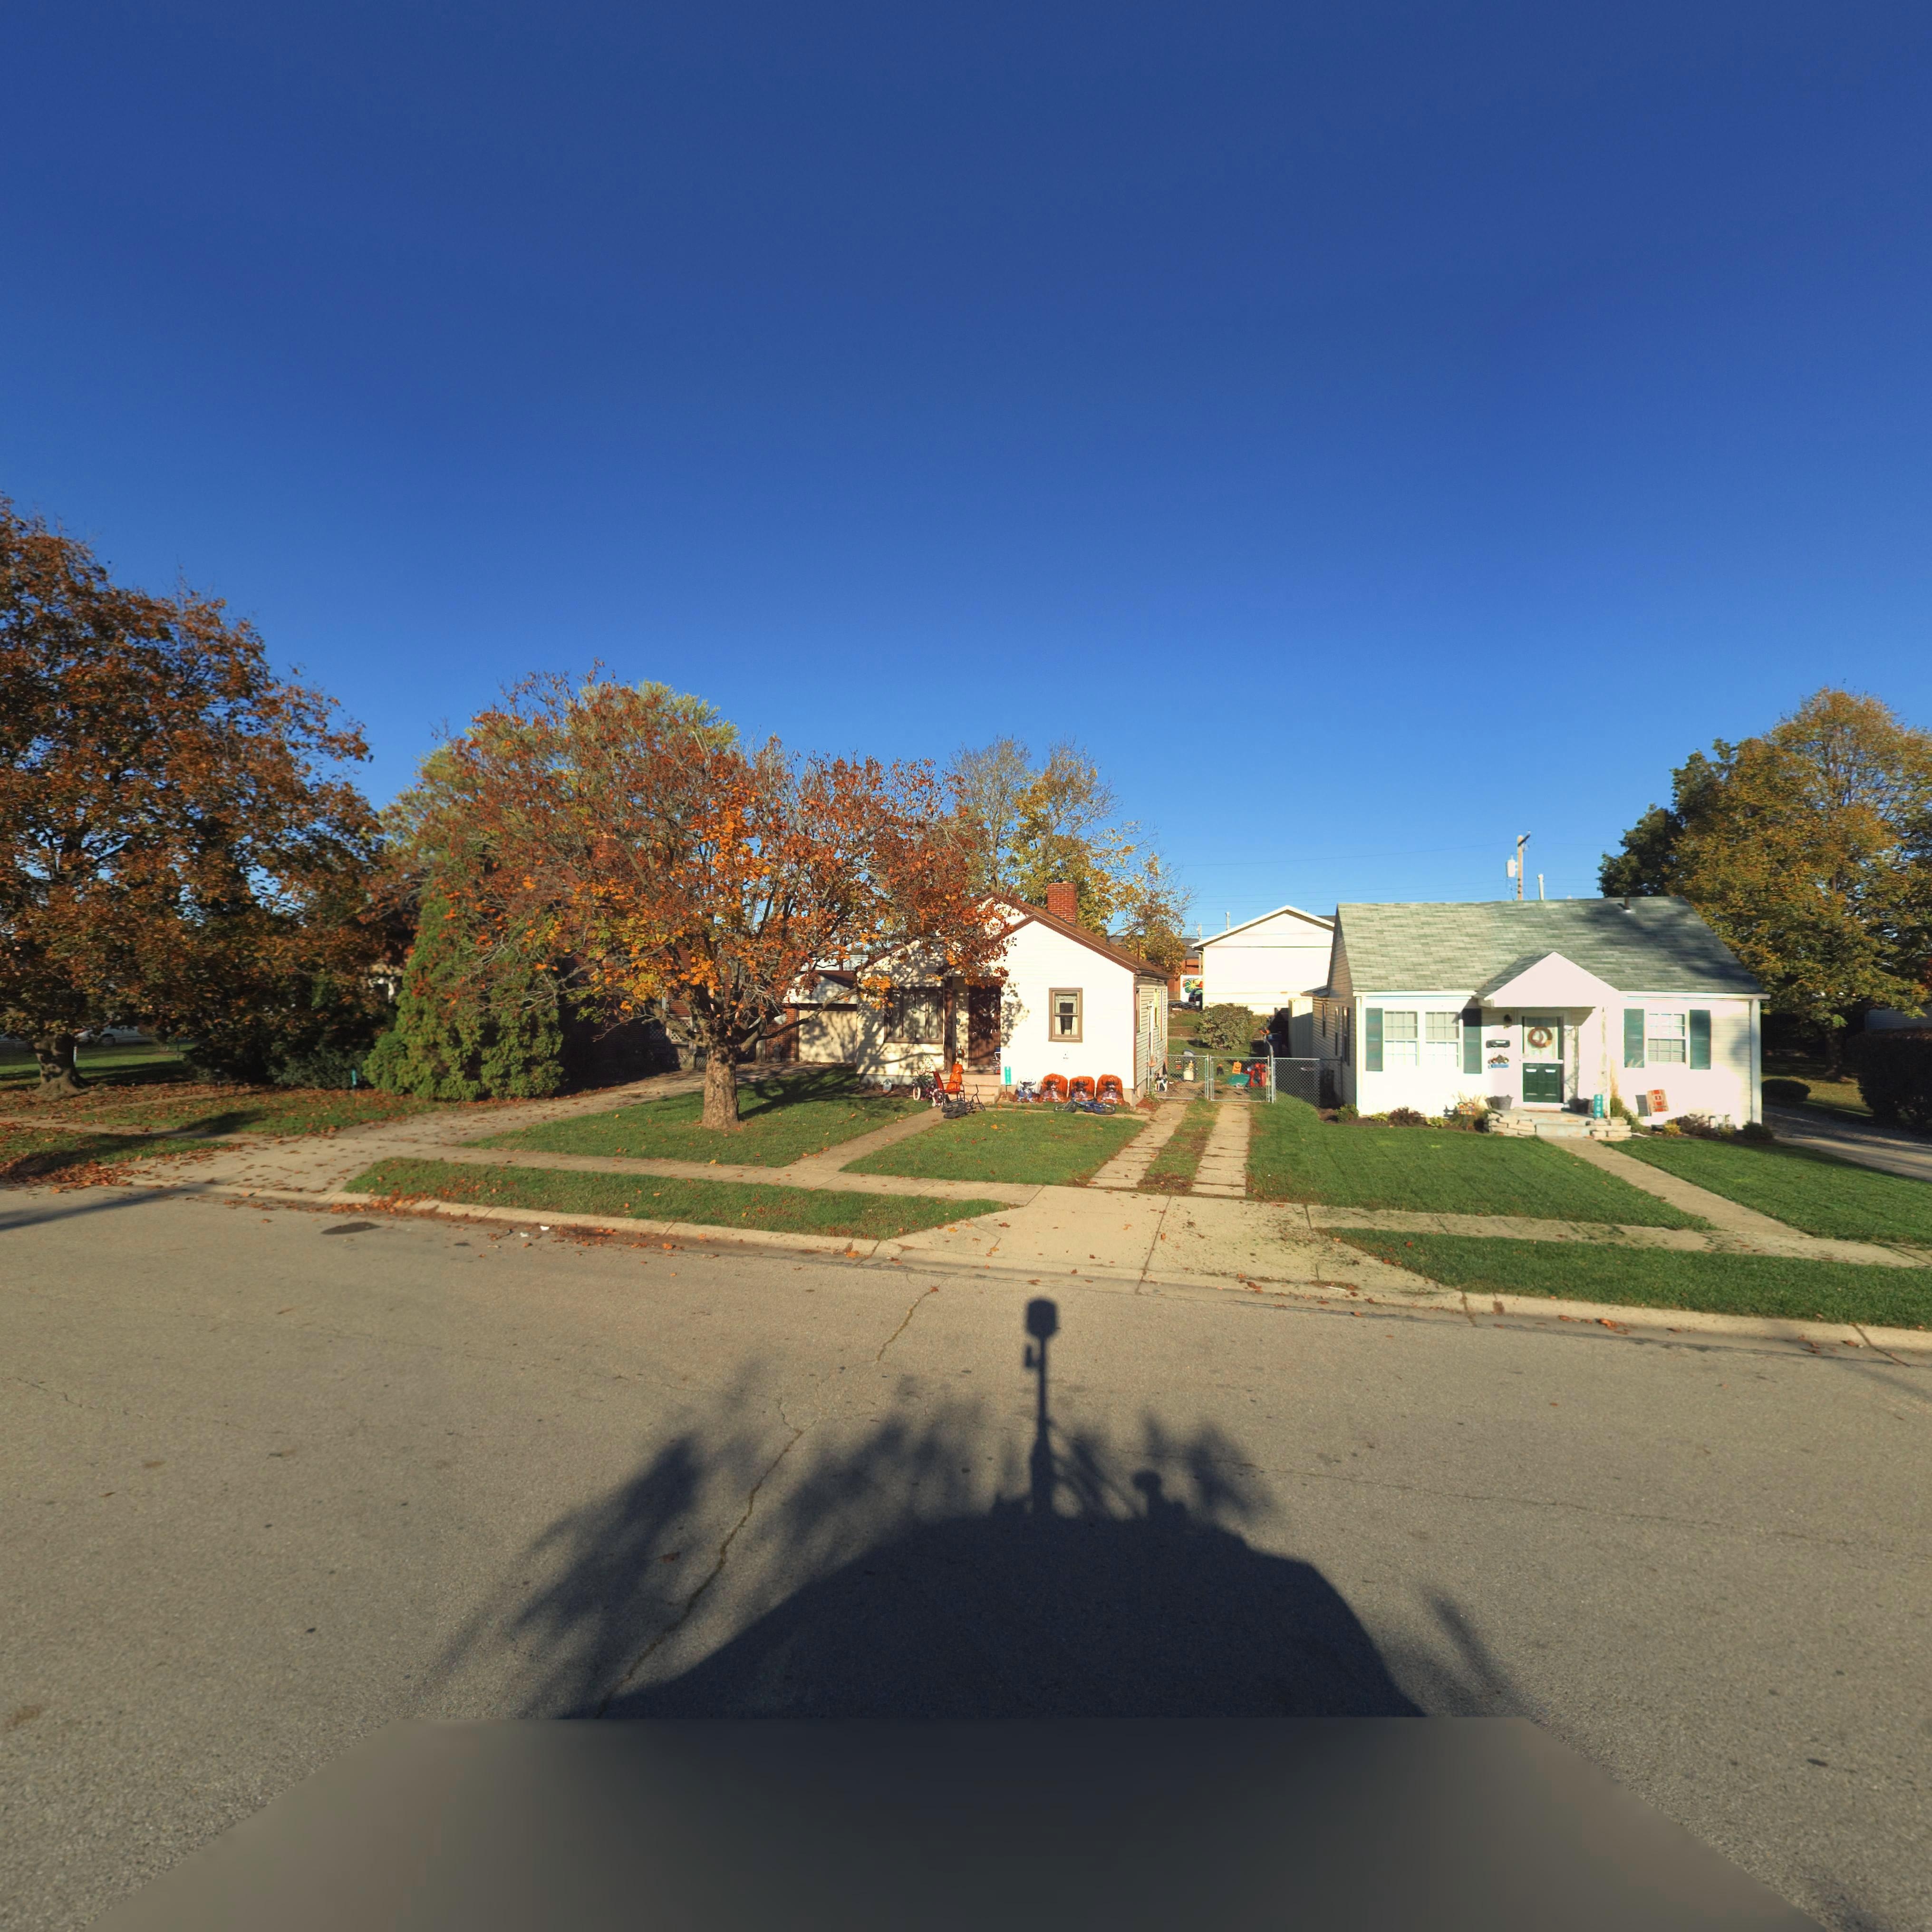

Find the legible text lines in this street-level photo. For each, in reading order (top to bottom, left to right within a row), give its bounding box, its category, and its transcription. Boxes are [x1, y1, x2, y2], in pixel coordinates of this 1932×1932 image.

[1005, 1065, 1010, 1086] StreetNumber: *71*
[1595, 1093, 1602, 1119] StreetNumber: *70*